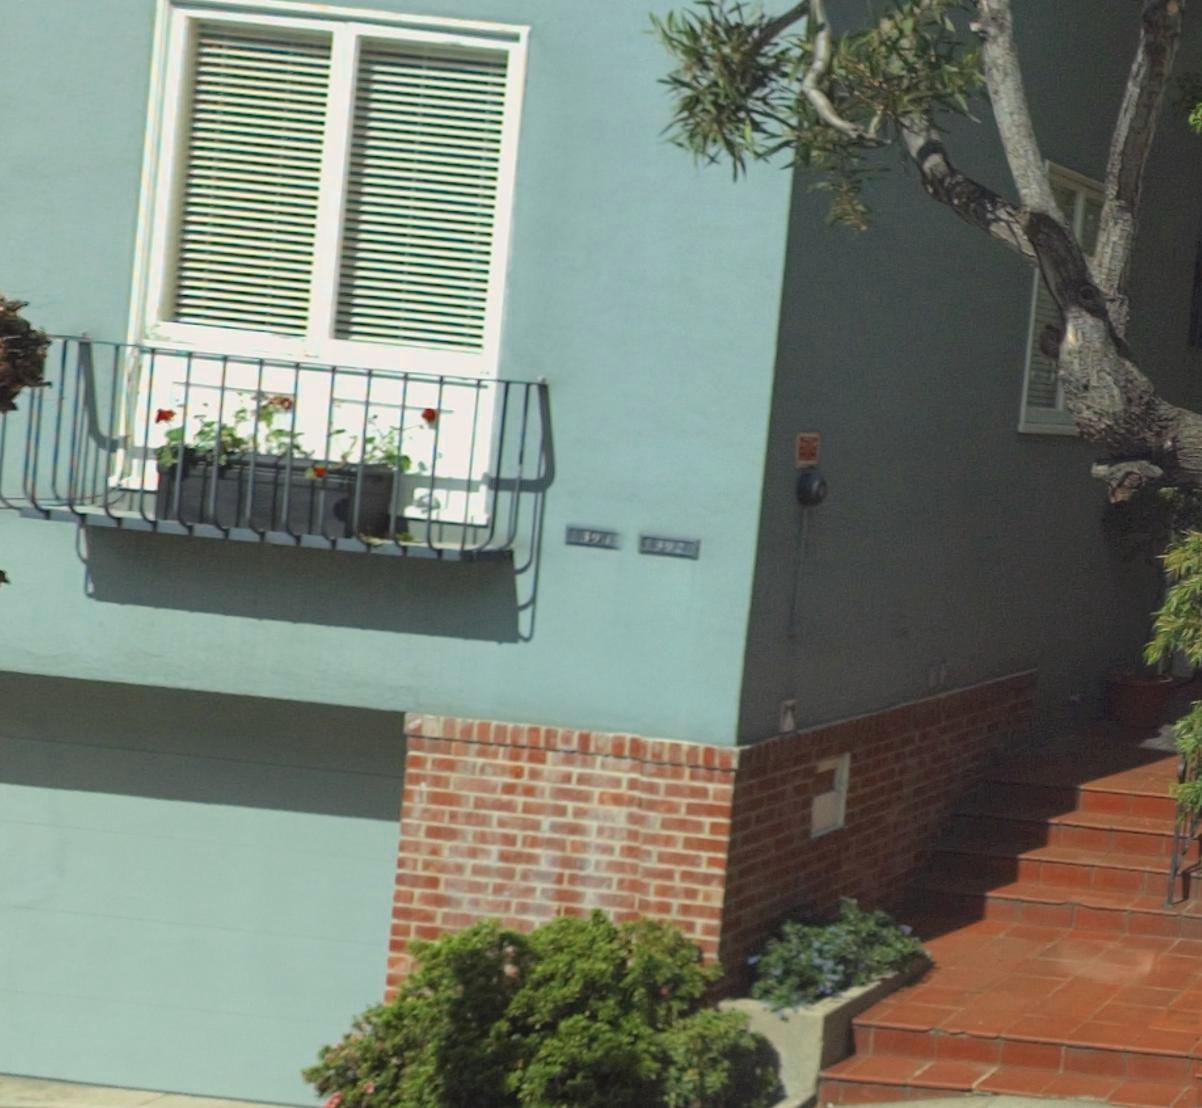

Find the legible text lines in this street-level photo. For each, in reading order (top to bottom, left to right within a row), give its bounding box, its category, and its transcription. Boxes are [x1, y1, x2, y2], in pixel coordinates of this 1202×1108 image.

[566, 528, 621, 549] StreetNumber: *392
[637, 536, 700, 560] StreetNumber: *392